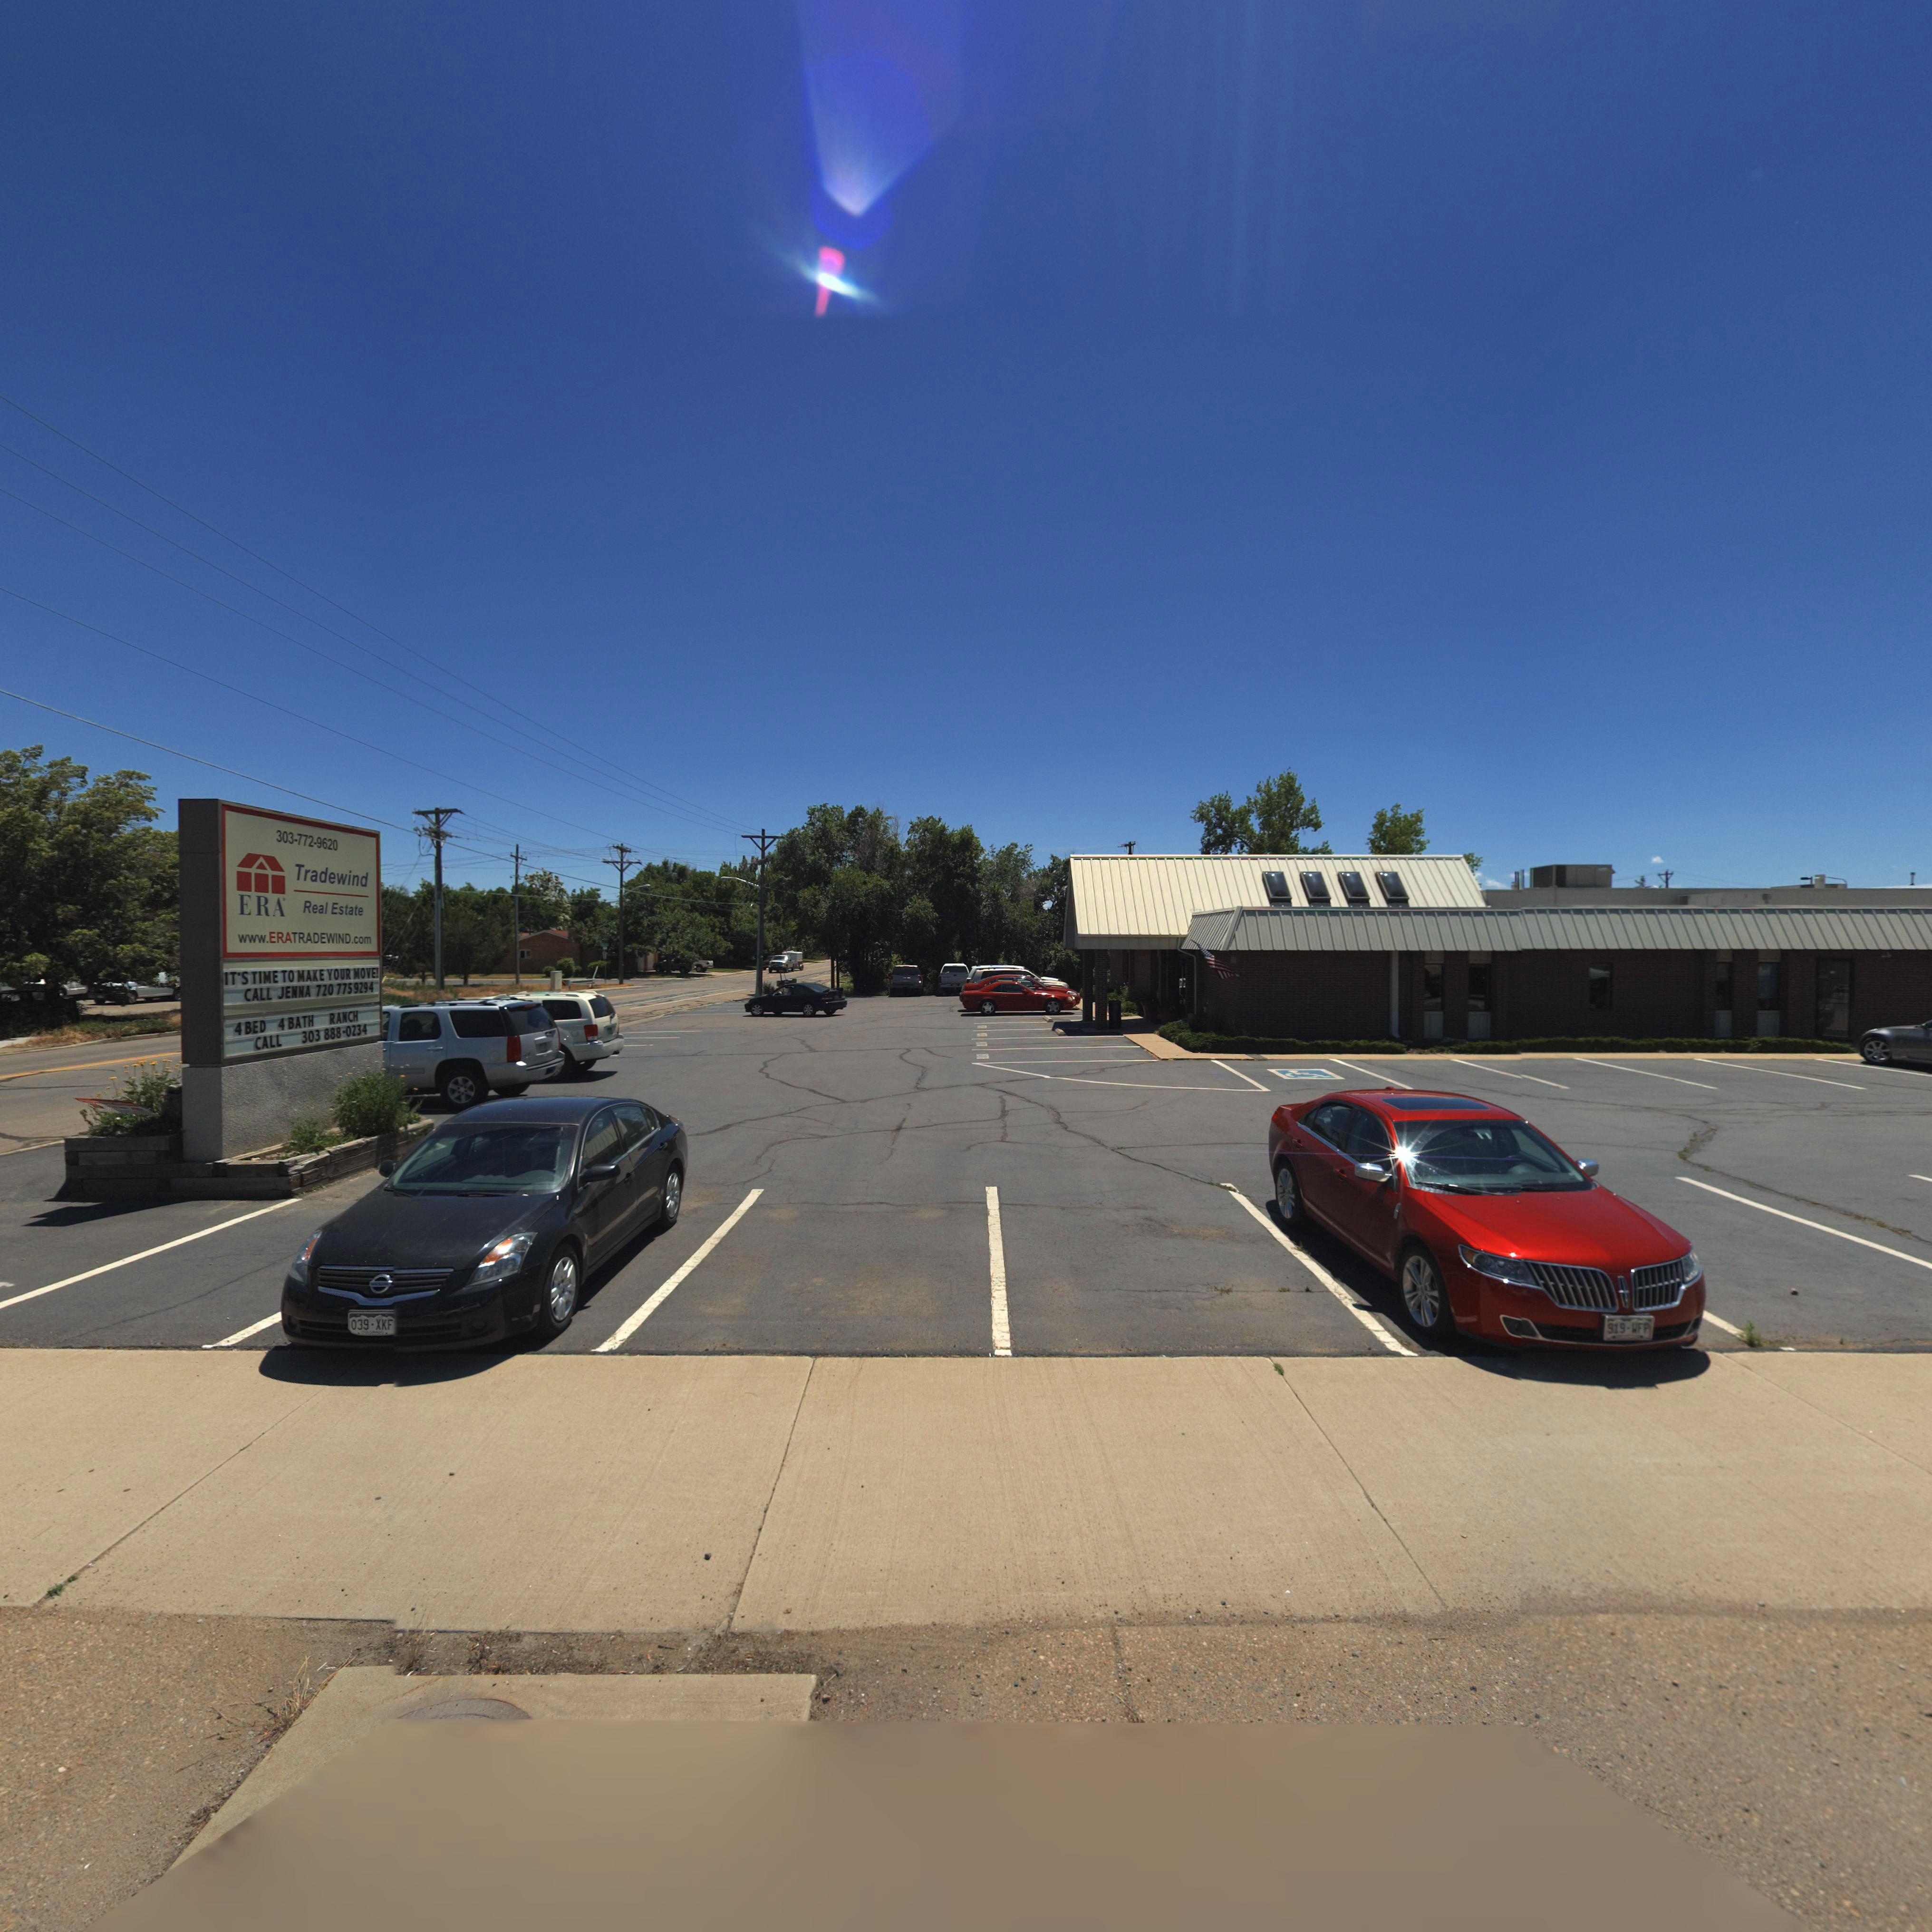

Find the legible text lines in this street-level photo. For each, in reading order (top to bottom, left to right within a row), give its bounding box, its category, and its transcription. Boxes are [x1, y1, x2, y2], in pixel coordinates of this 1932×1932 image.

[294, 862, 368, 888] BusinessName: Tradewind
[302, 899, 364, 917] BusinessName: Real Estate